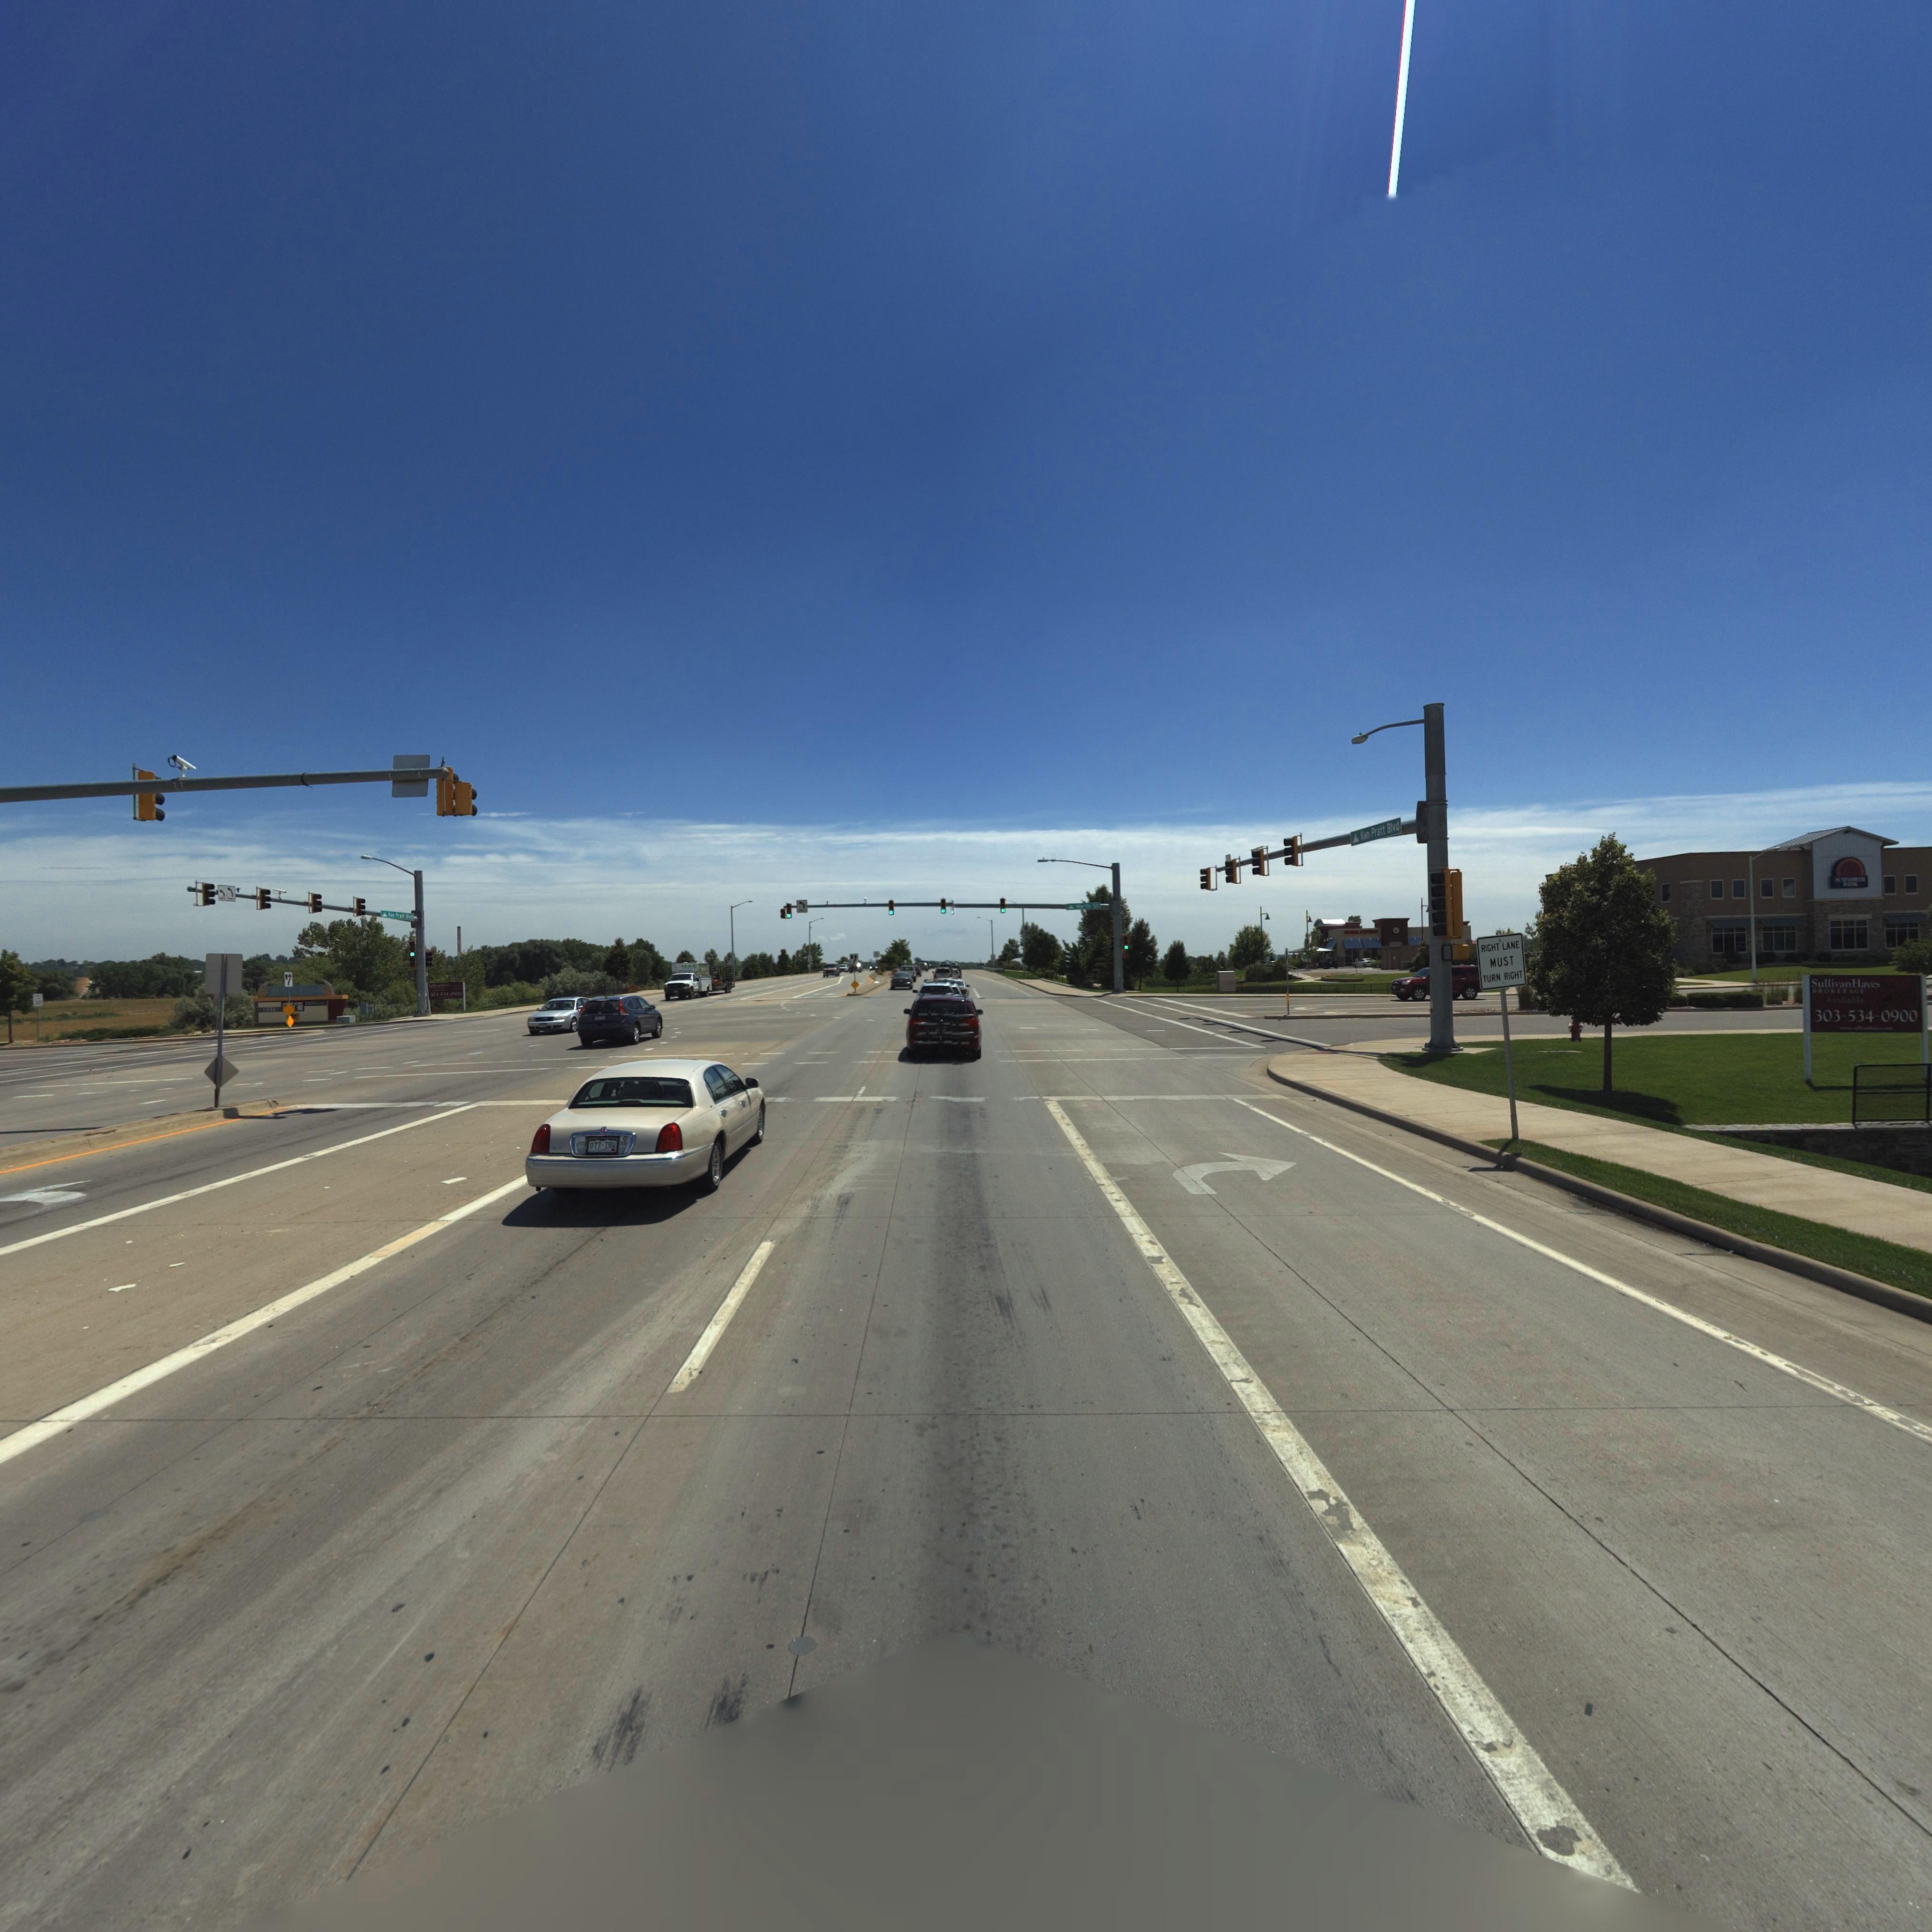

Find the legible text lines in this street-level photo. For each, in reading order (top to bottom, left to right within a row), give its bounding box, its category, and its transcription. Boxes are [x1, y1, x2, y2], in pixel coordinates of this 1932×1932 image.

[1360, 820, 1400, 841] StreetName: Ken Pratt Blvd
[1834, 877, 1865, 882] BusinessName: S**FL**ER
[1843, 881, 1858, 887] BusinessName: ***K
[1076, 903, 1099, 908] BusinessName: Martin St
[388, 911, 414, 920] StreetName: K** Pratt B*vd
[1343, 929, 1379, 935] BusinessName: PANDA EXPRESS
[305, 1000, 327, 1005] BusinessName: DSW*****
[262, 1007, 277, 1012] BusinessName: ULTA